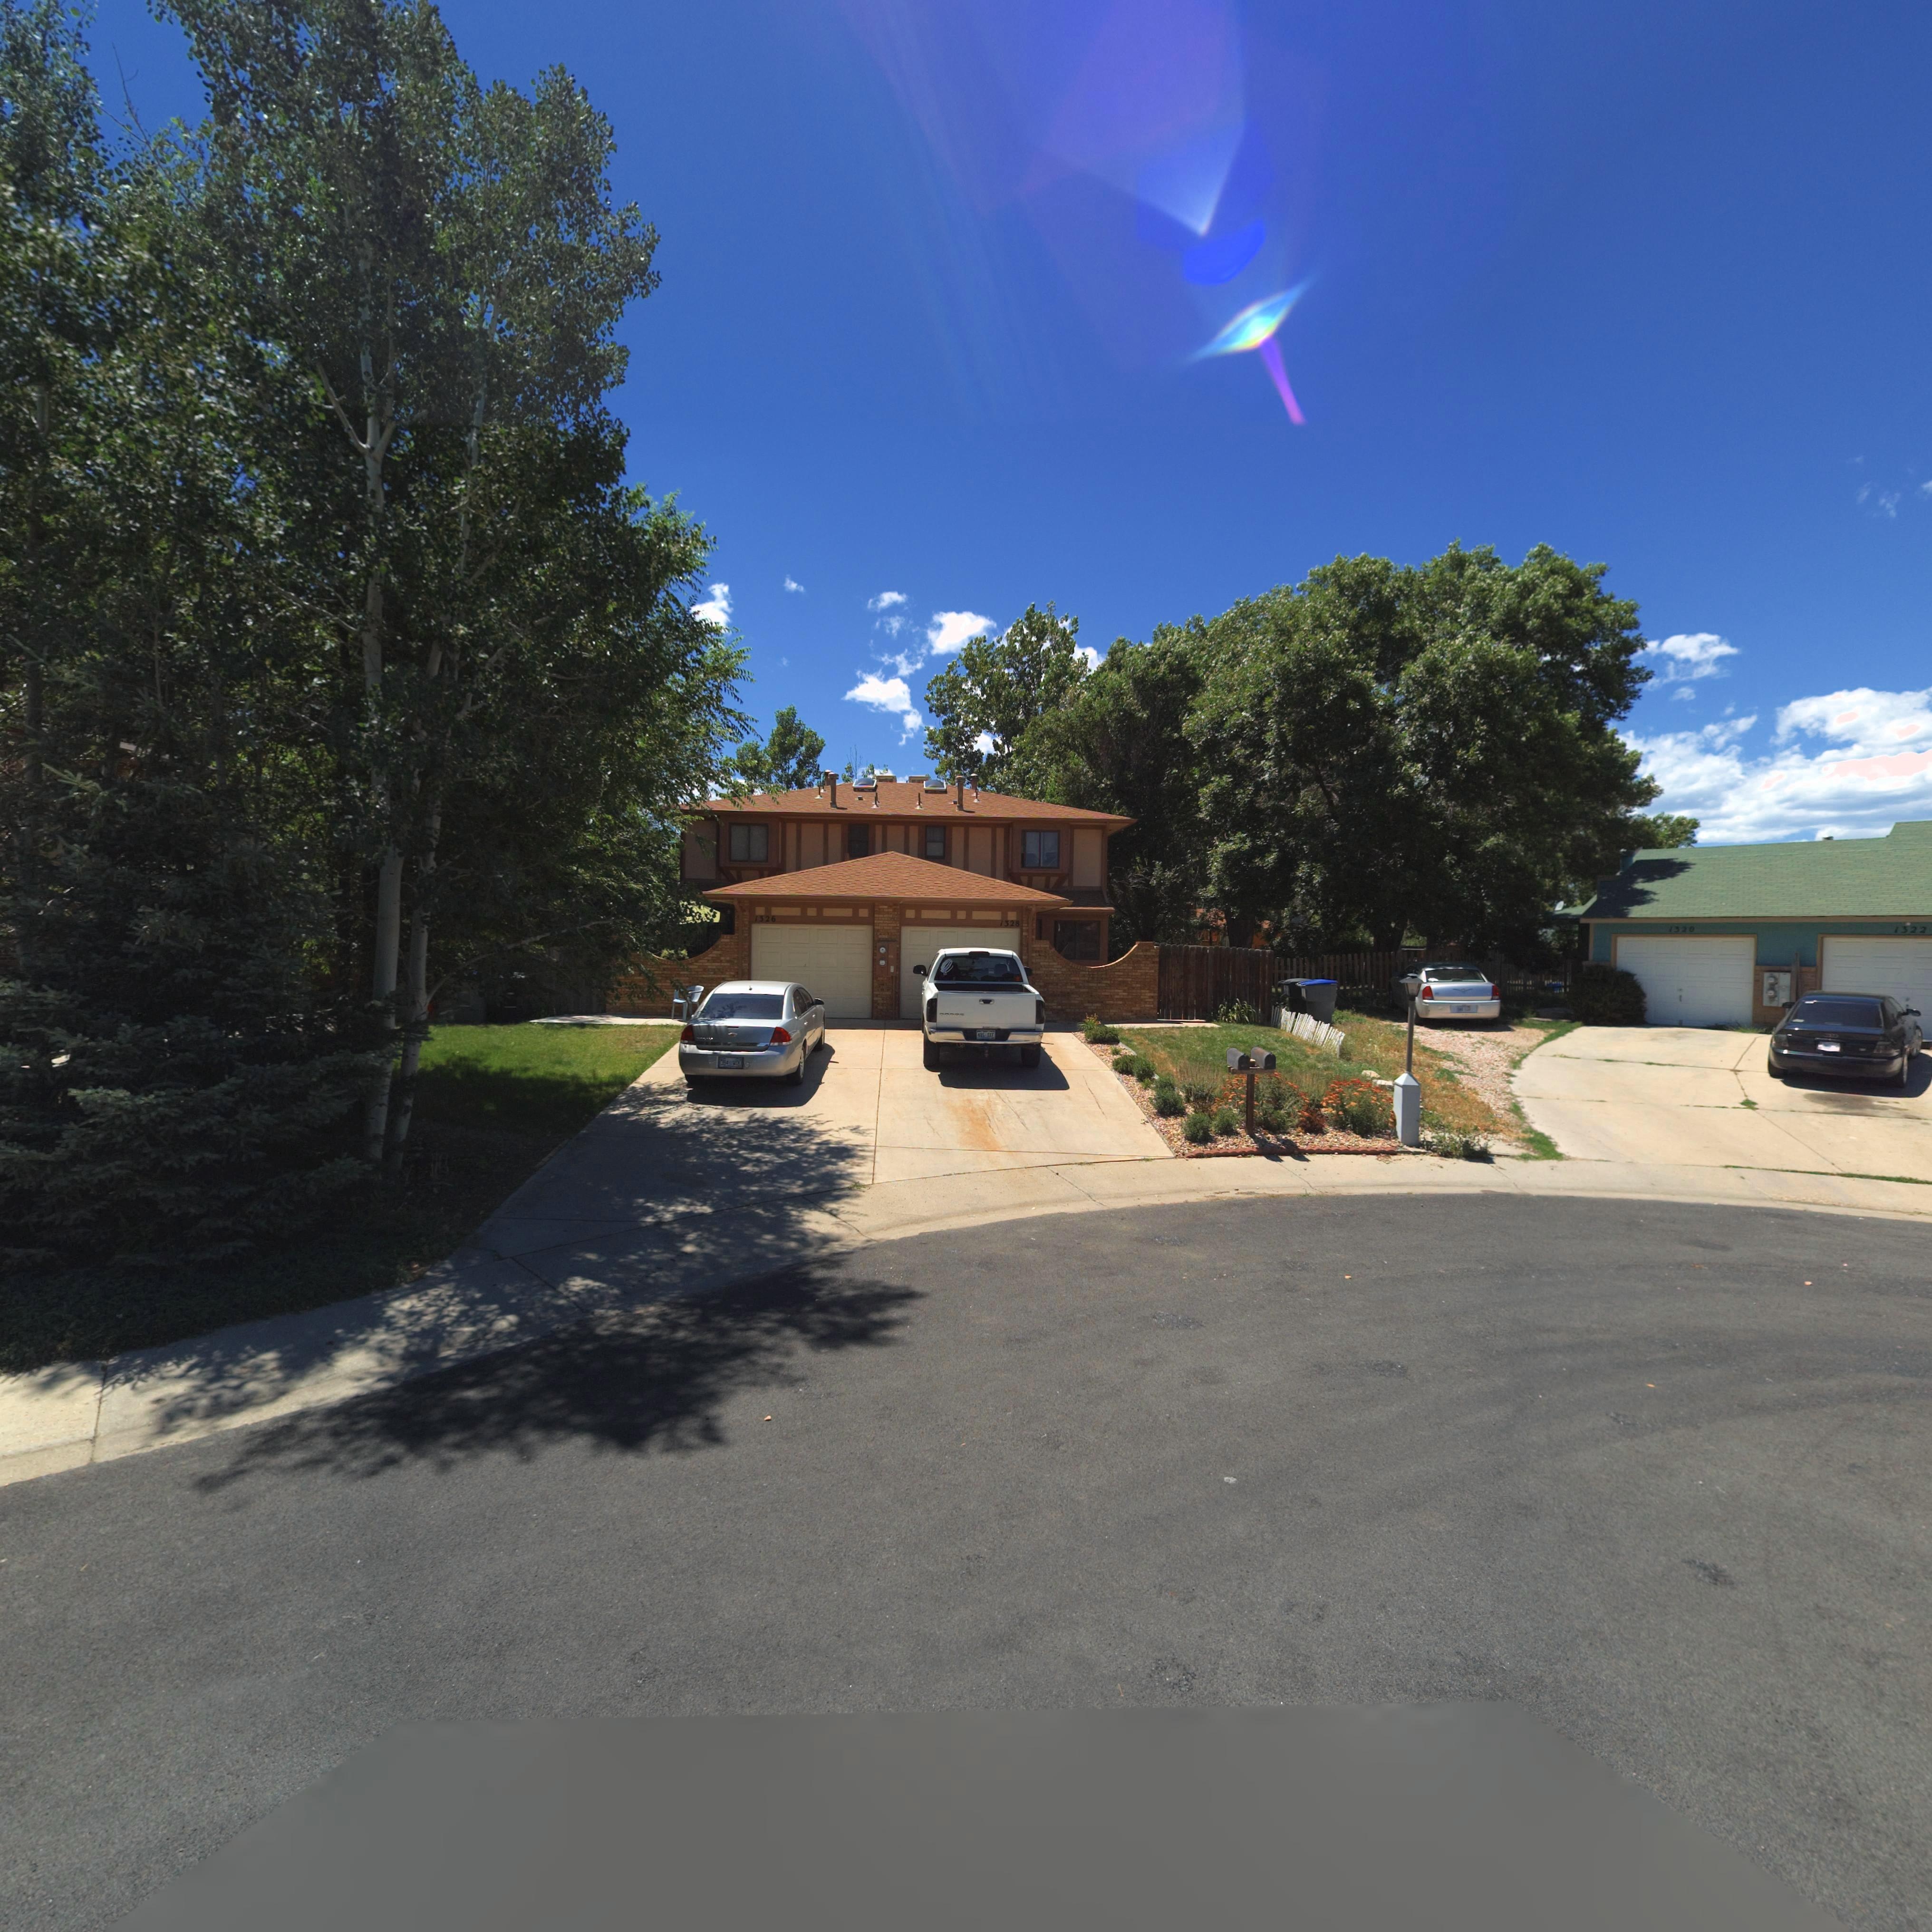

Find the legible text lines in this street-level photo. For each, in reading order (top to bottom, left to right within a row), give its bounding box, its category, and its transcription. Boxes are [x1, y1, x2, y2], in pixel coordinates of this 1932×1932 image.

[754, 915, 776, 923] StreetNumber: 1326
[999, 919, 1020, 927] StreetNumber: 1328
[1668, 925, 1695, 933] StreetNumber: 1320
[1893, 925, 1927, 934] StreetNumber: 1322